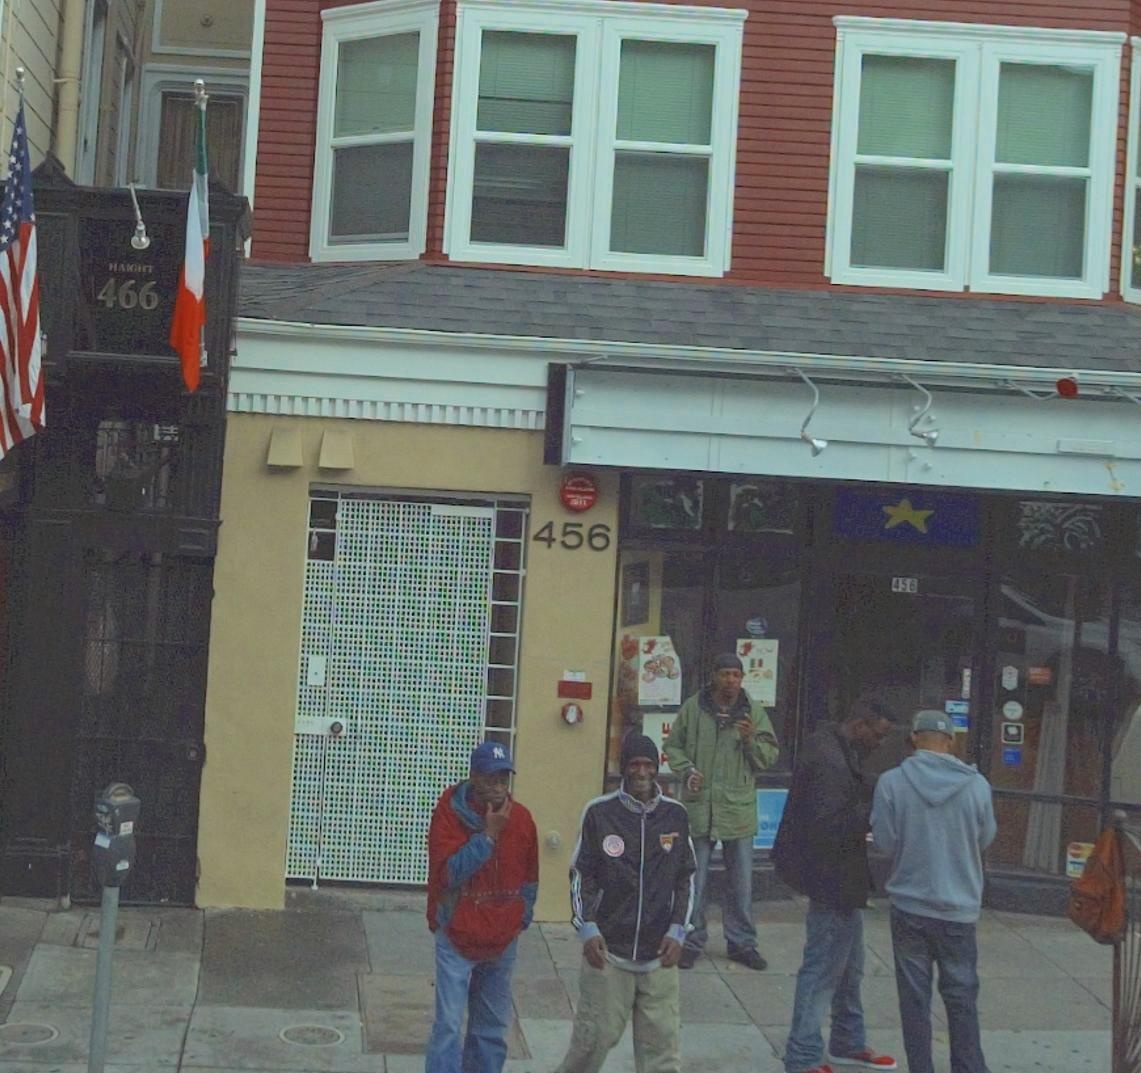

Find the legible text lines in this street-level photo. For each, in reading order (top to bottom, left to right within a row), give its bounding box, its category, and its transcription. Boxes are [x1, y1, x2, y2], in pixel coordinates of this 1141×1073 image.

[107, 260, 157, 277] StreetName: HAIGHT
[94, 274, 163, 313] StreetNumber: 466
[528, 517, 613, 555] StreetNumber: 456
[891, 576, 918, 594] StreetNumber: 456